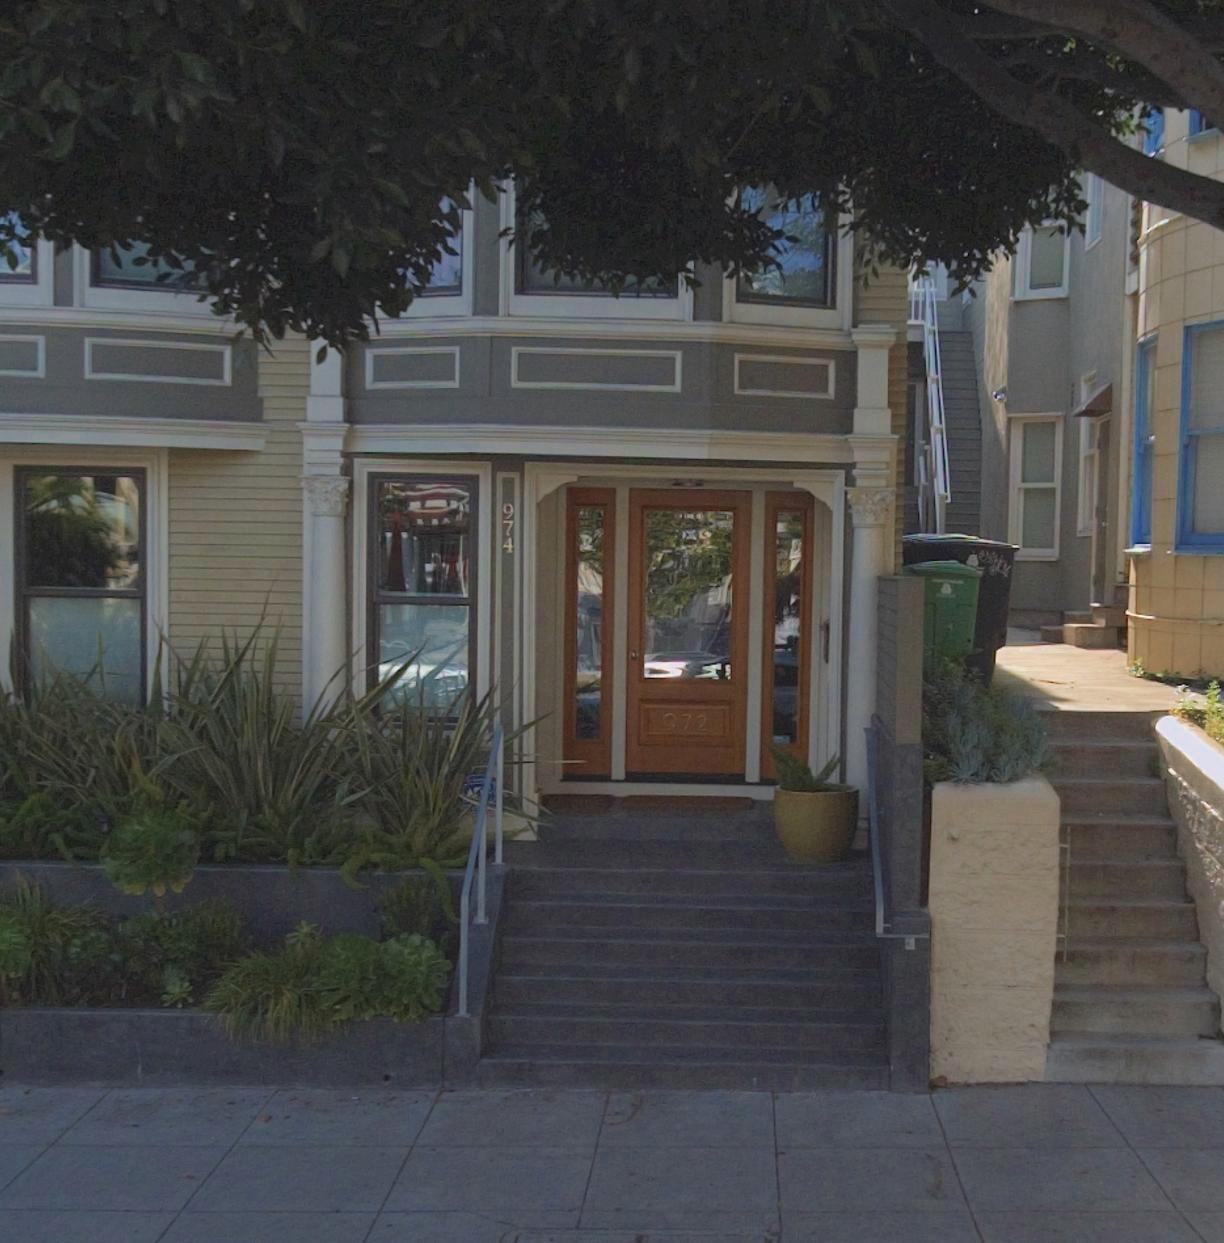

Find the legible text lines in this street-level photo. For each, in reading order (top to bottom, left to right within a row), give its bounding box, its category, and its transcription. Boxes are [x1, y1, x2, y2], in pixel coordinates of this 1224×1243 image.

[502, 502, 514, 554] StreetNumber: 974
[662, 712, 708, 732] StreetNumber: 972